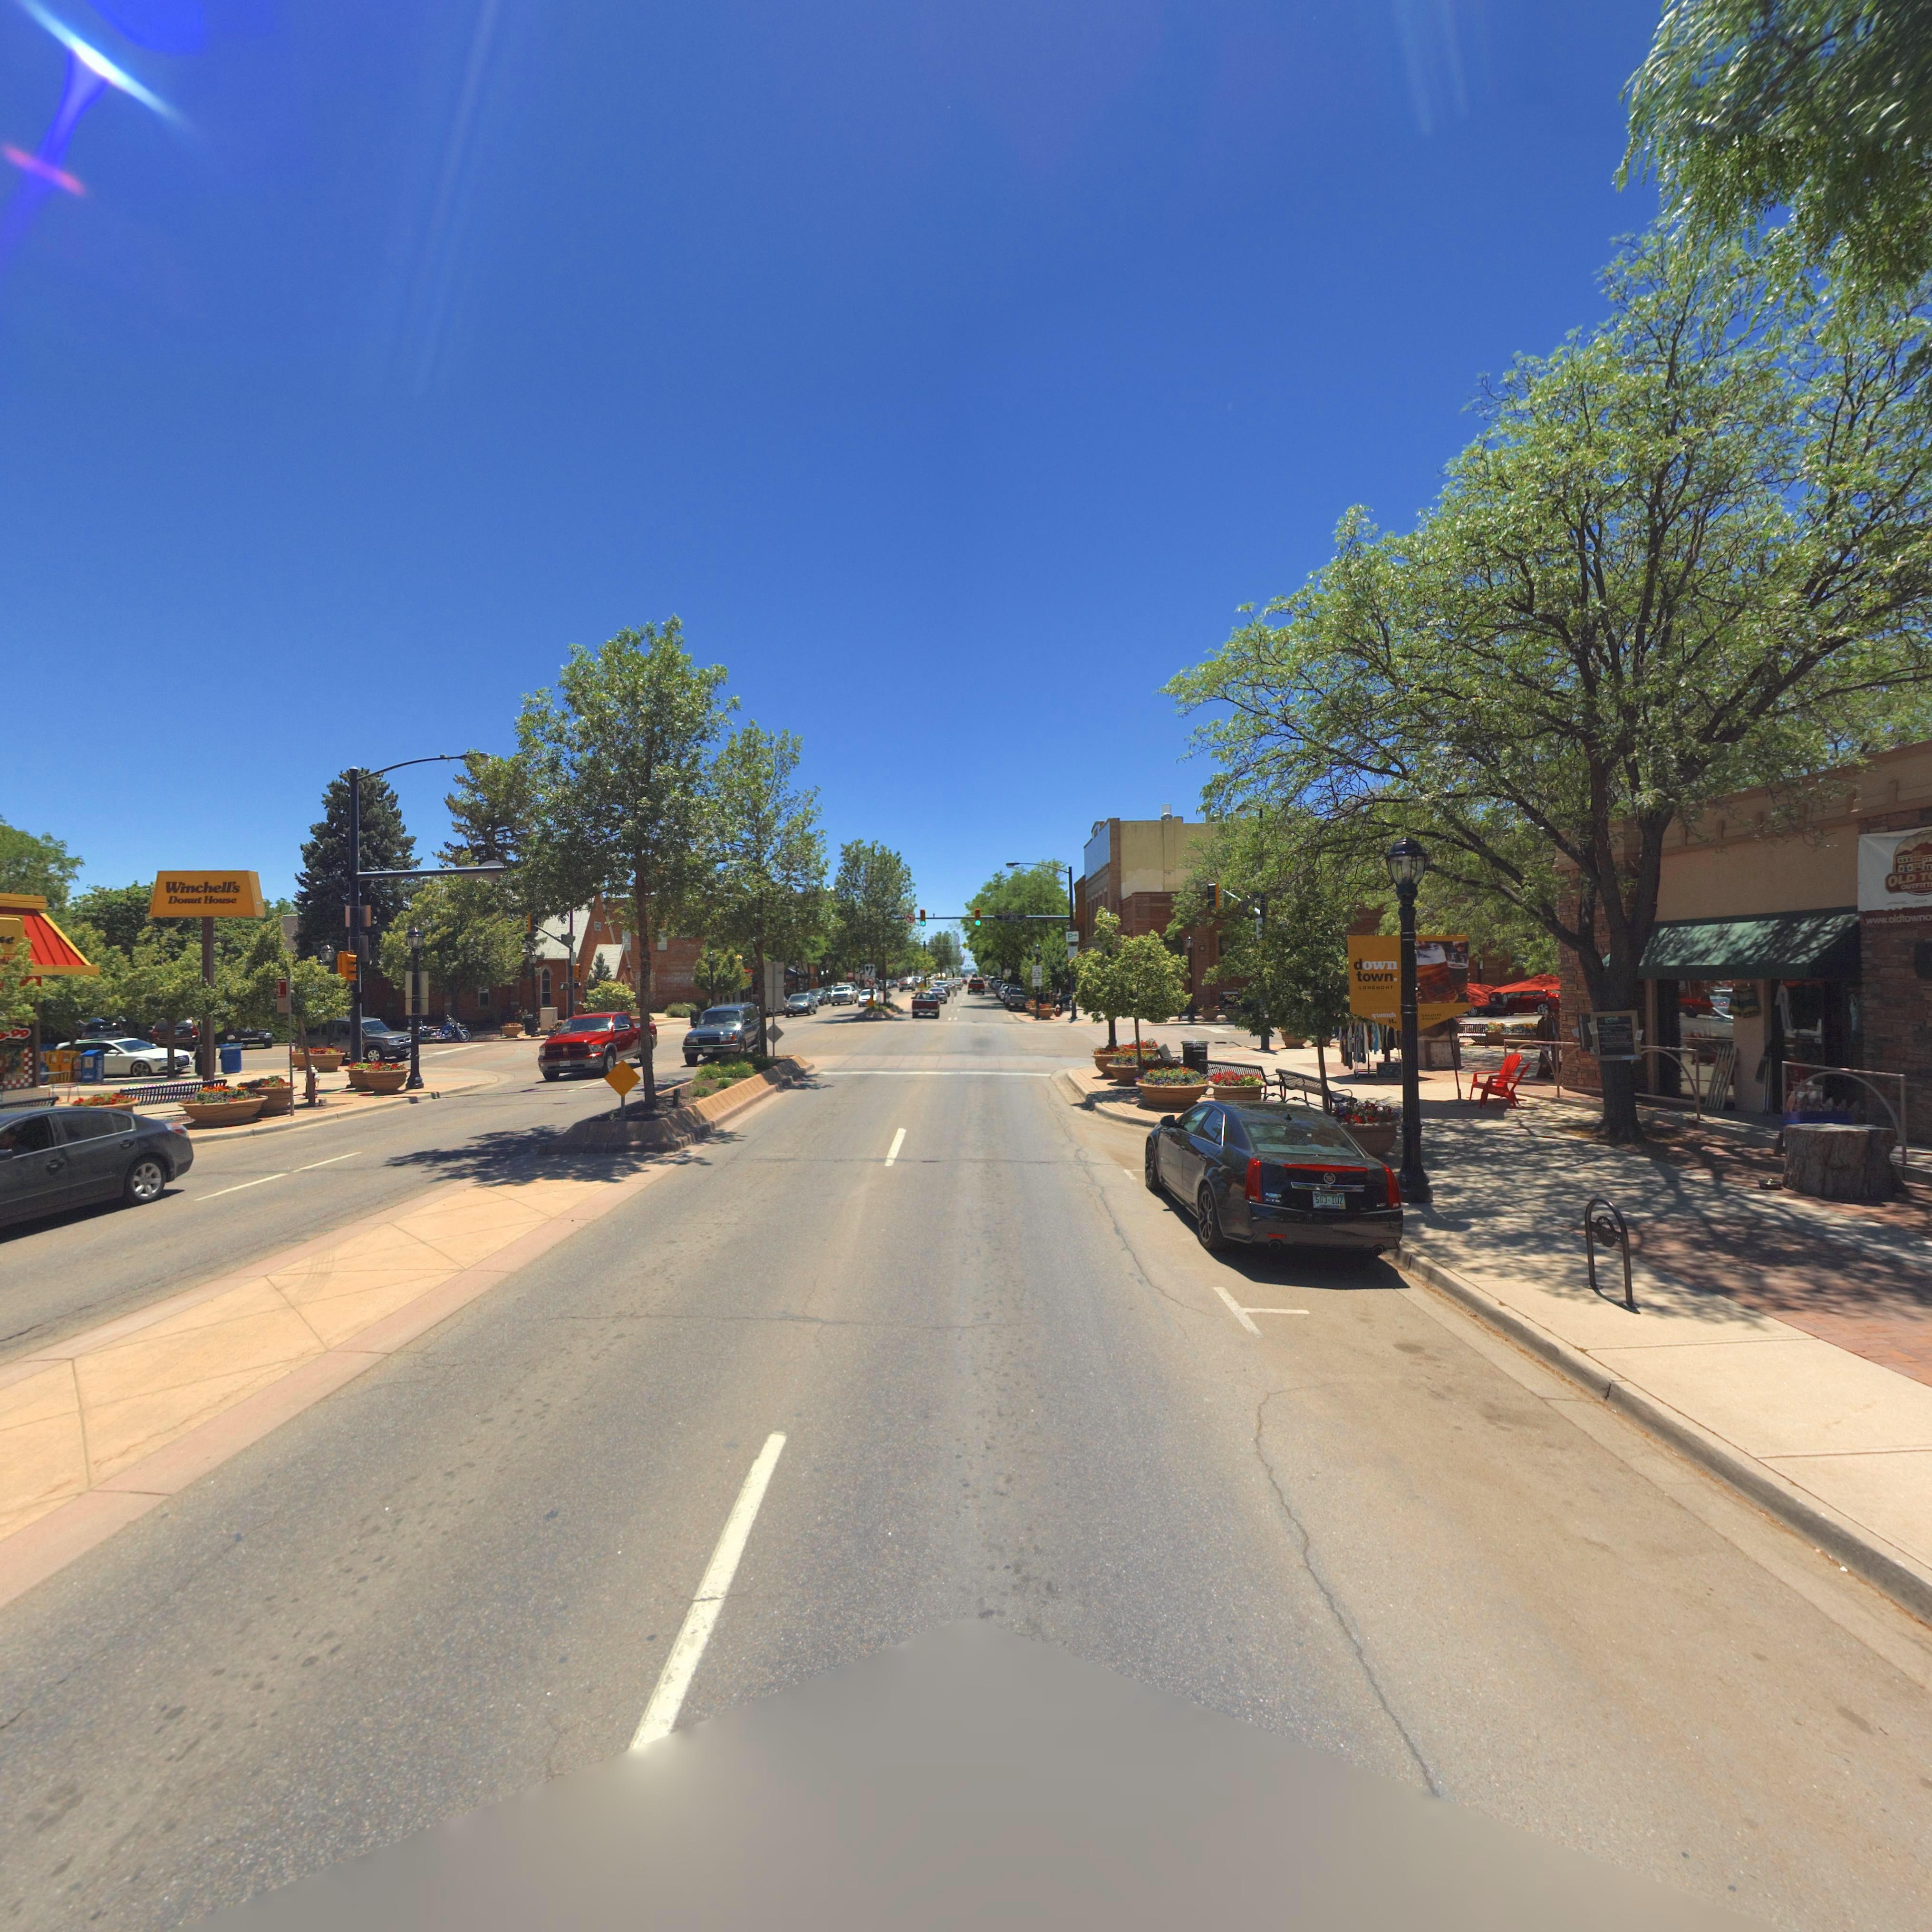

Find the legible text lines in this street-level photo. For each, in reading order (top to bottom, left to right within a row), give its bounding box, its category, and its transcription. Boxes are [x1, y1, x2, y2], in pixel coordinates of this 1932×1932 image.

[165, 880, 241, 894] BusinessName: Winchell's
[167, 895, 237, 904] BusinessName: Donut House
[1001, 914, 1020, 920] StreetName: 5TH AVE
[4, 935, 14, 945] BusinessName: e